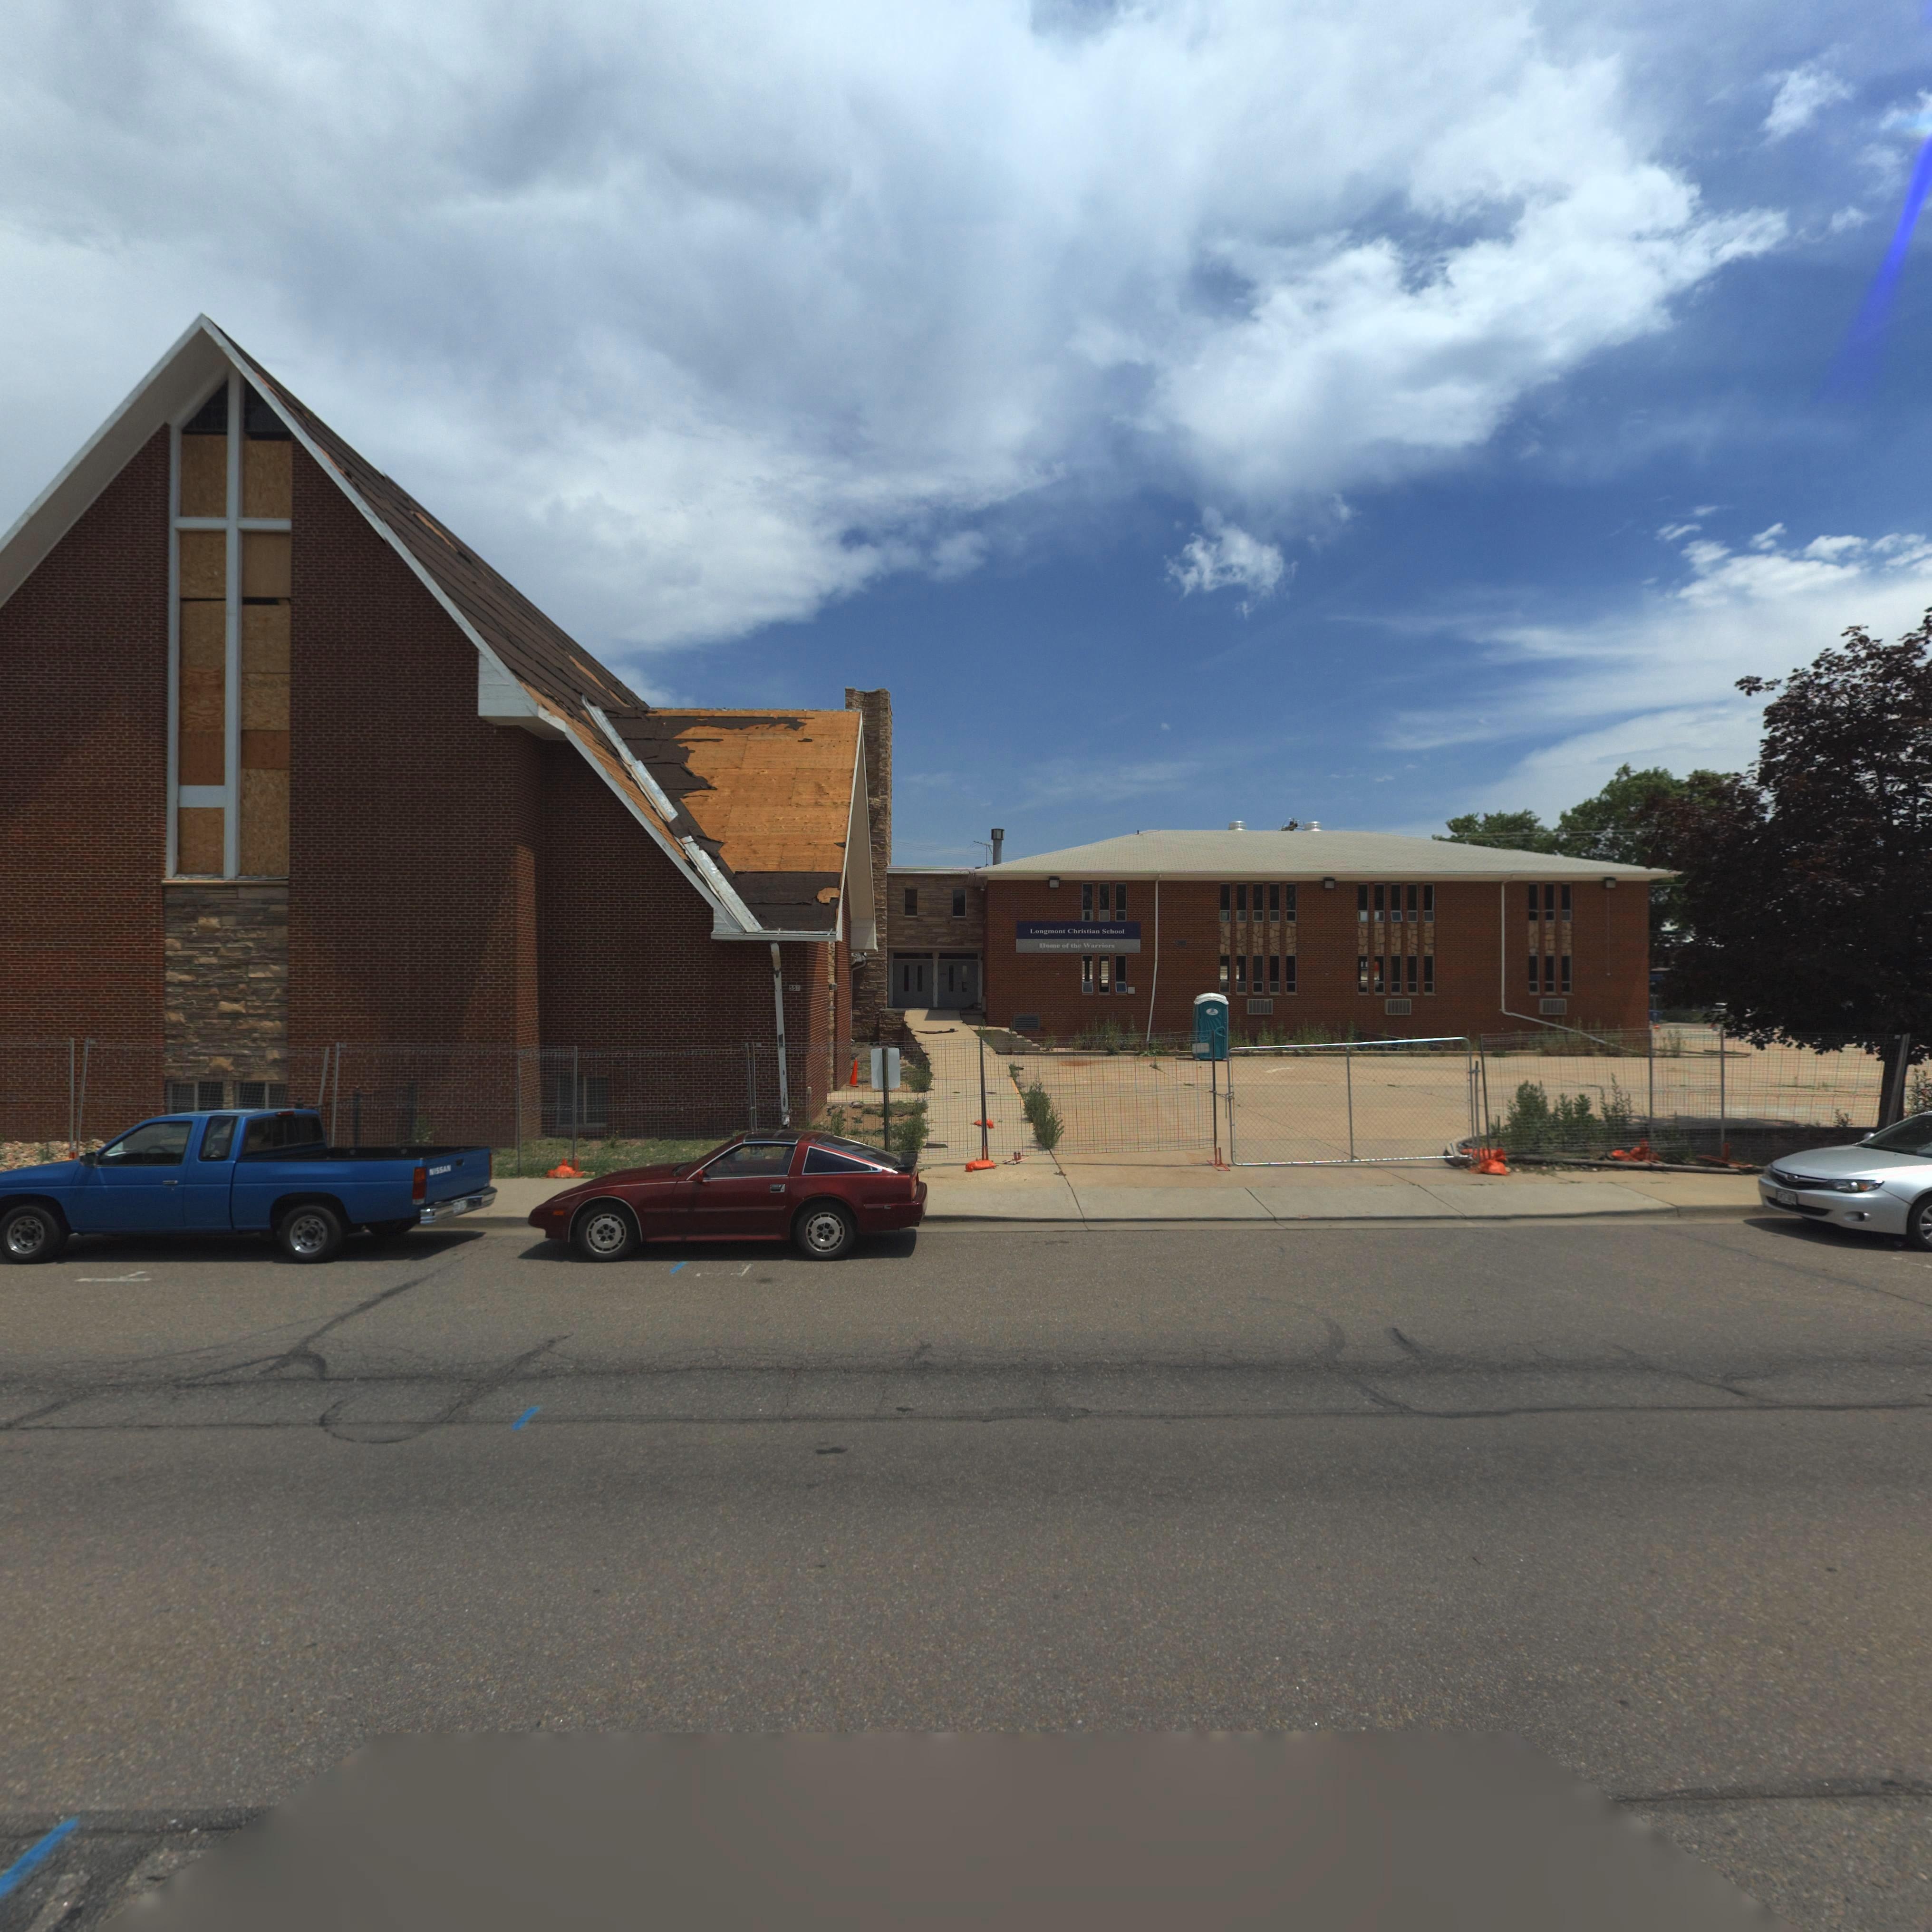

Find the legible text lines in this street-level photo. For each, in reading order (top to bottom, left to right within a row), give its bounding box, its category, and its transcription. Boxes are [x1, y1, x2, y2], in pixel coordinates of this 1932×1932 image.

[1030, 928, 1124, 935] BusinessName: Longmont Christian School
[790, 985, 799, 990] StreetNumber: 550